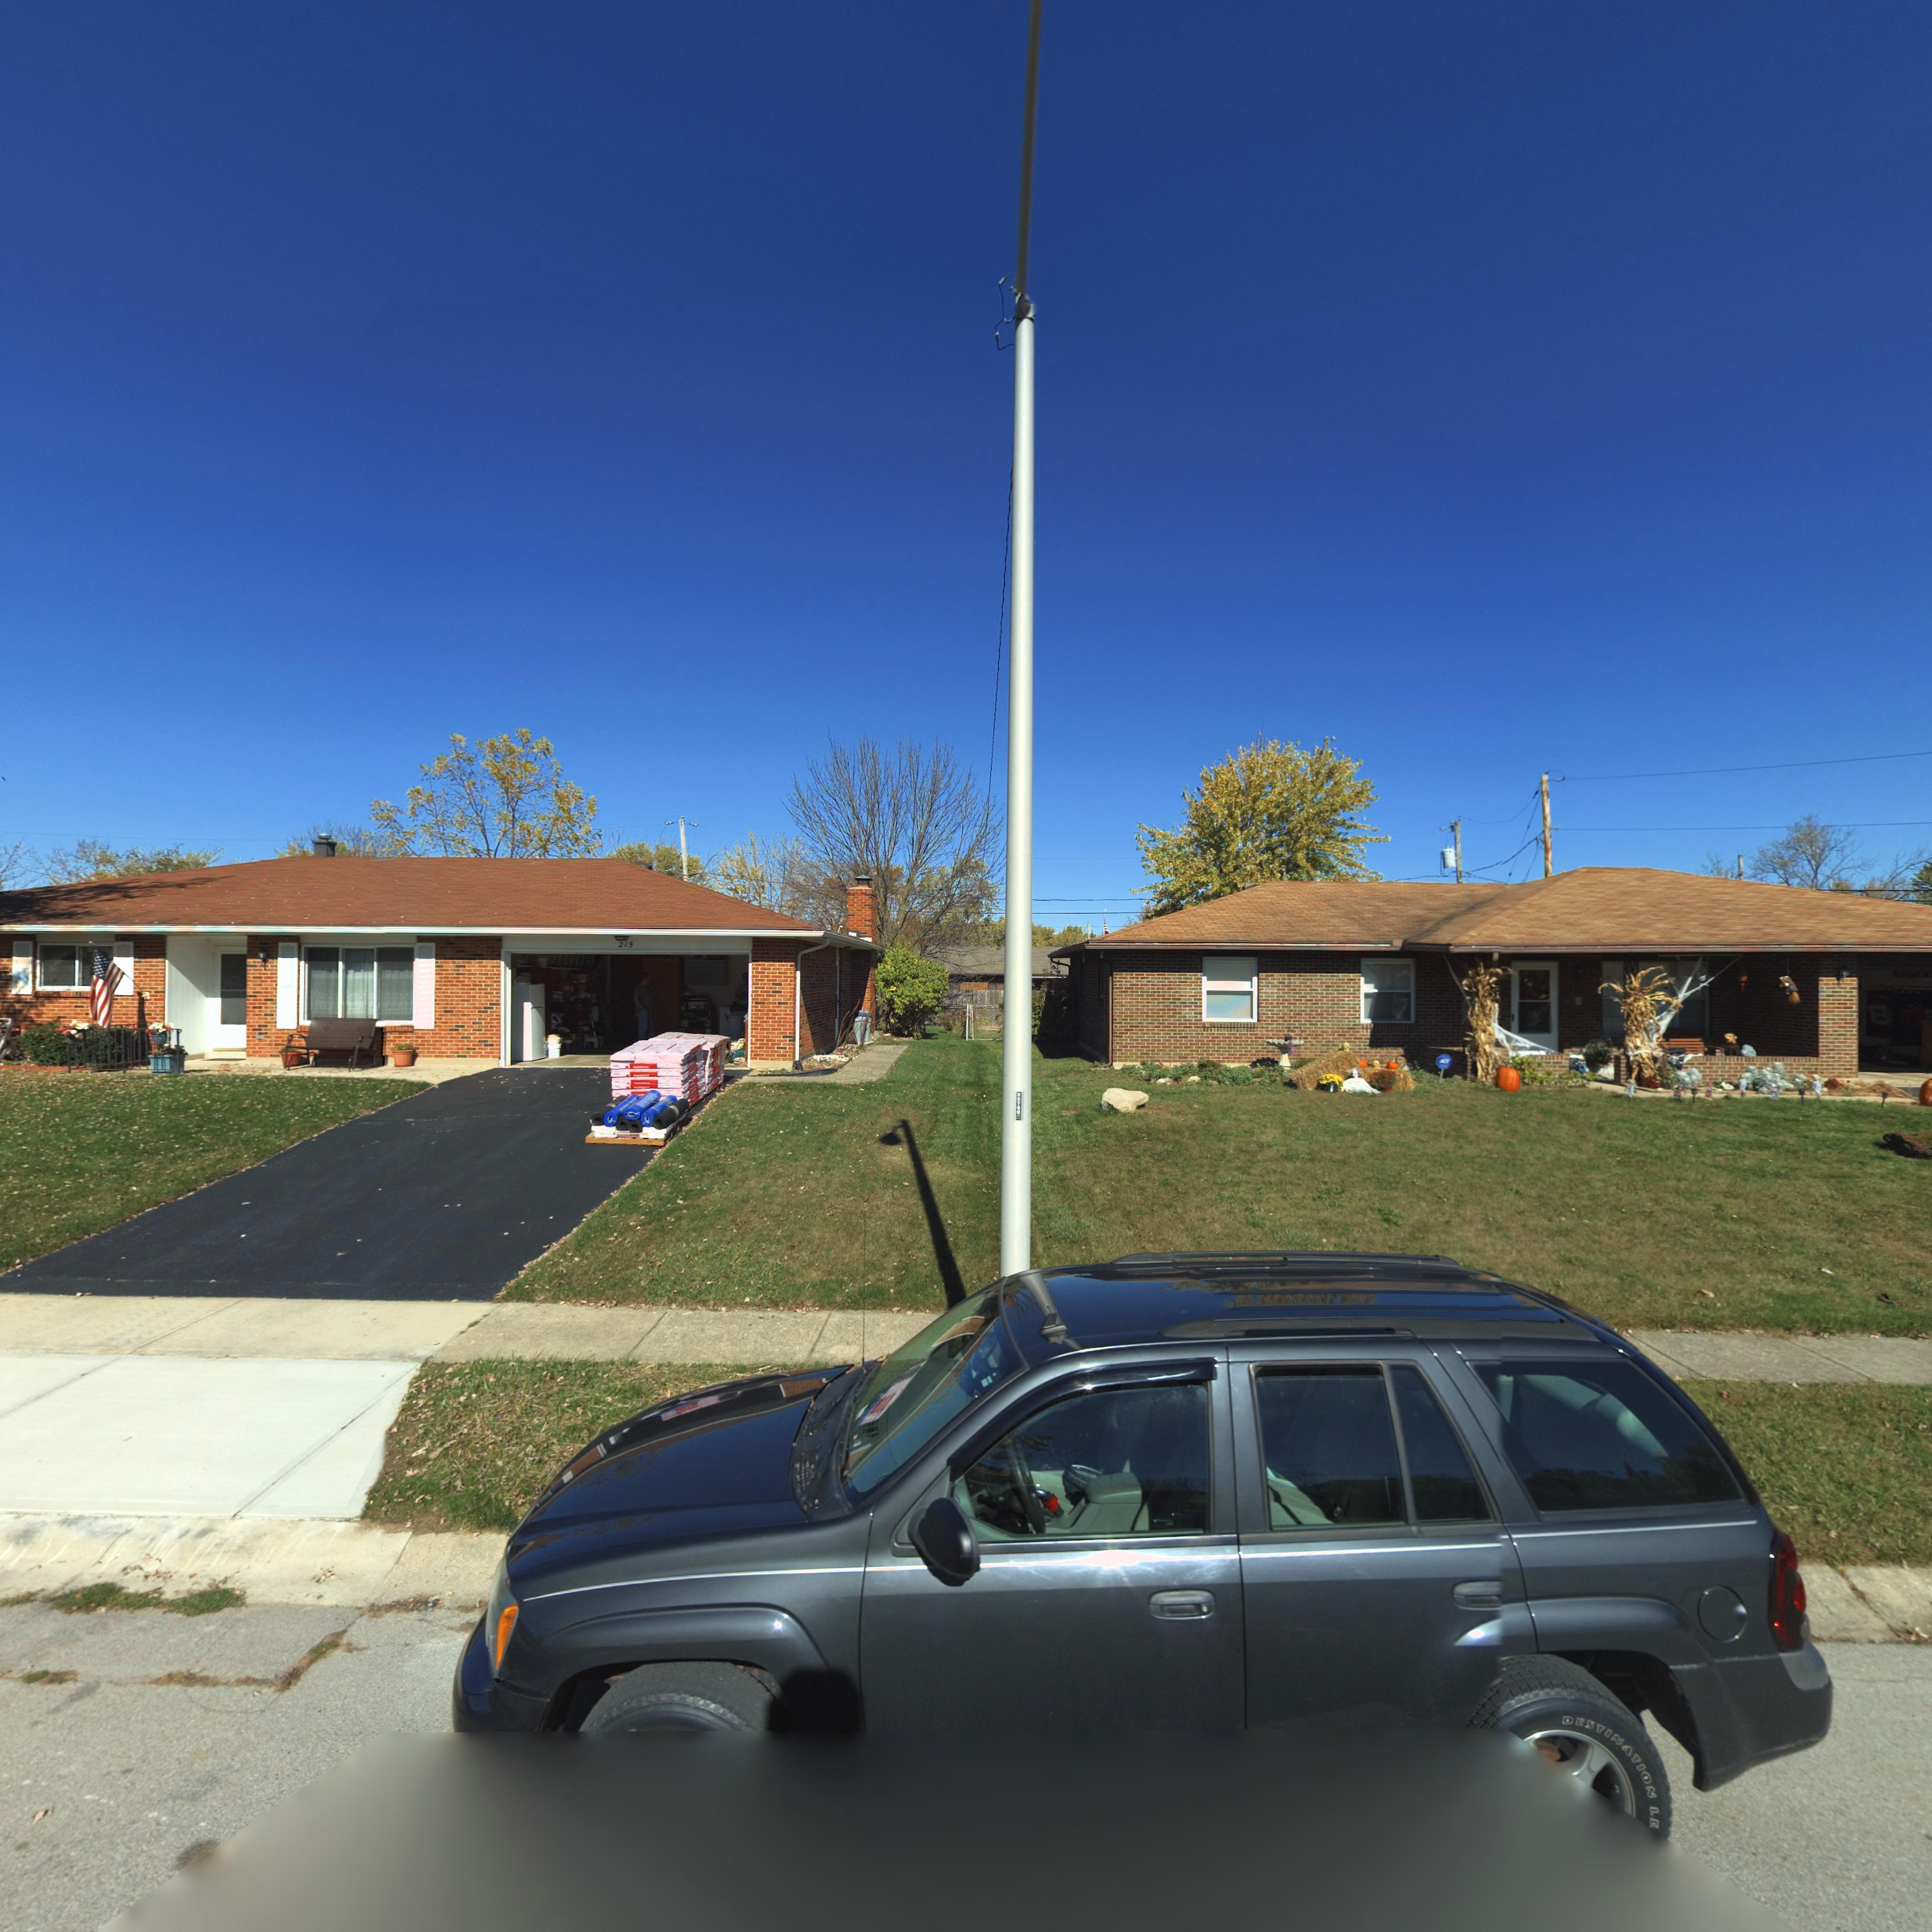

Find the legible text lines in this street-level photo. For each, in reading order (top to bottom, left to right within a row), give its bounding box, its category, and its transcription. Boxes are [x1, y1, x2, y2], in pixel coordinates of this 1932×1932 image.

[618, 941, 634, 948] StreetNumber: 215